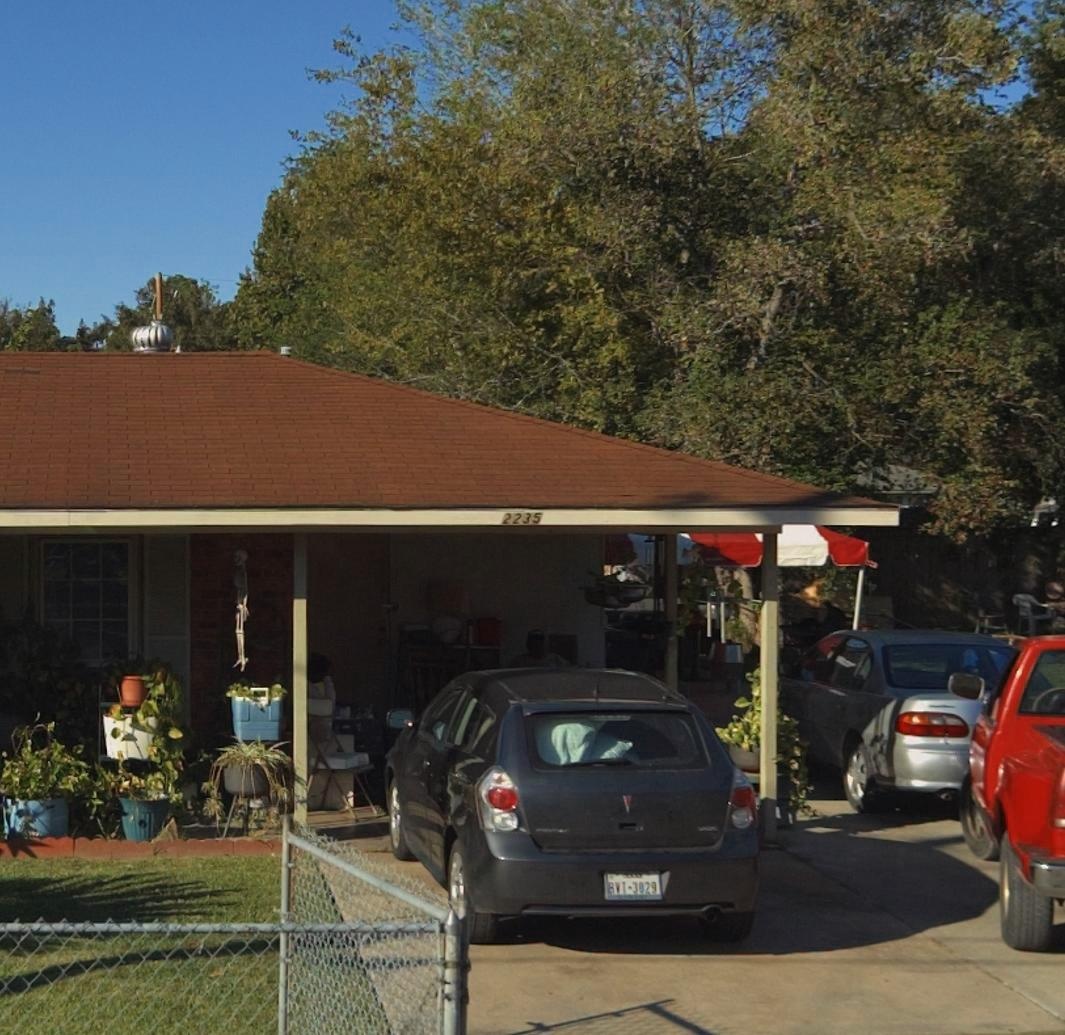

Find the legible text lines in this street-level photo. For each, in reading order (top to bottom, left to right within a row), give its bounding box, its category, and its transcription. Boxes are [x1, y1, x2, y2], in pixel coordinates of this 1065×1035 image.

[500, 513, 543, 526] StreetNumber: 2235
[607, 880, 658, 895] None: BVT*3*29